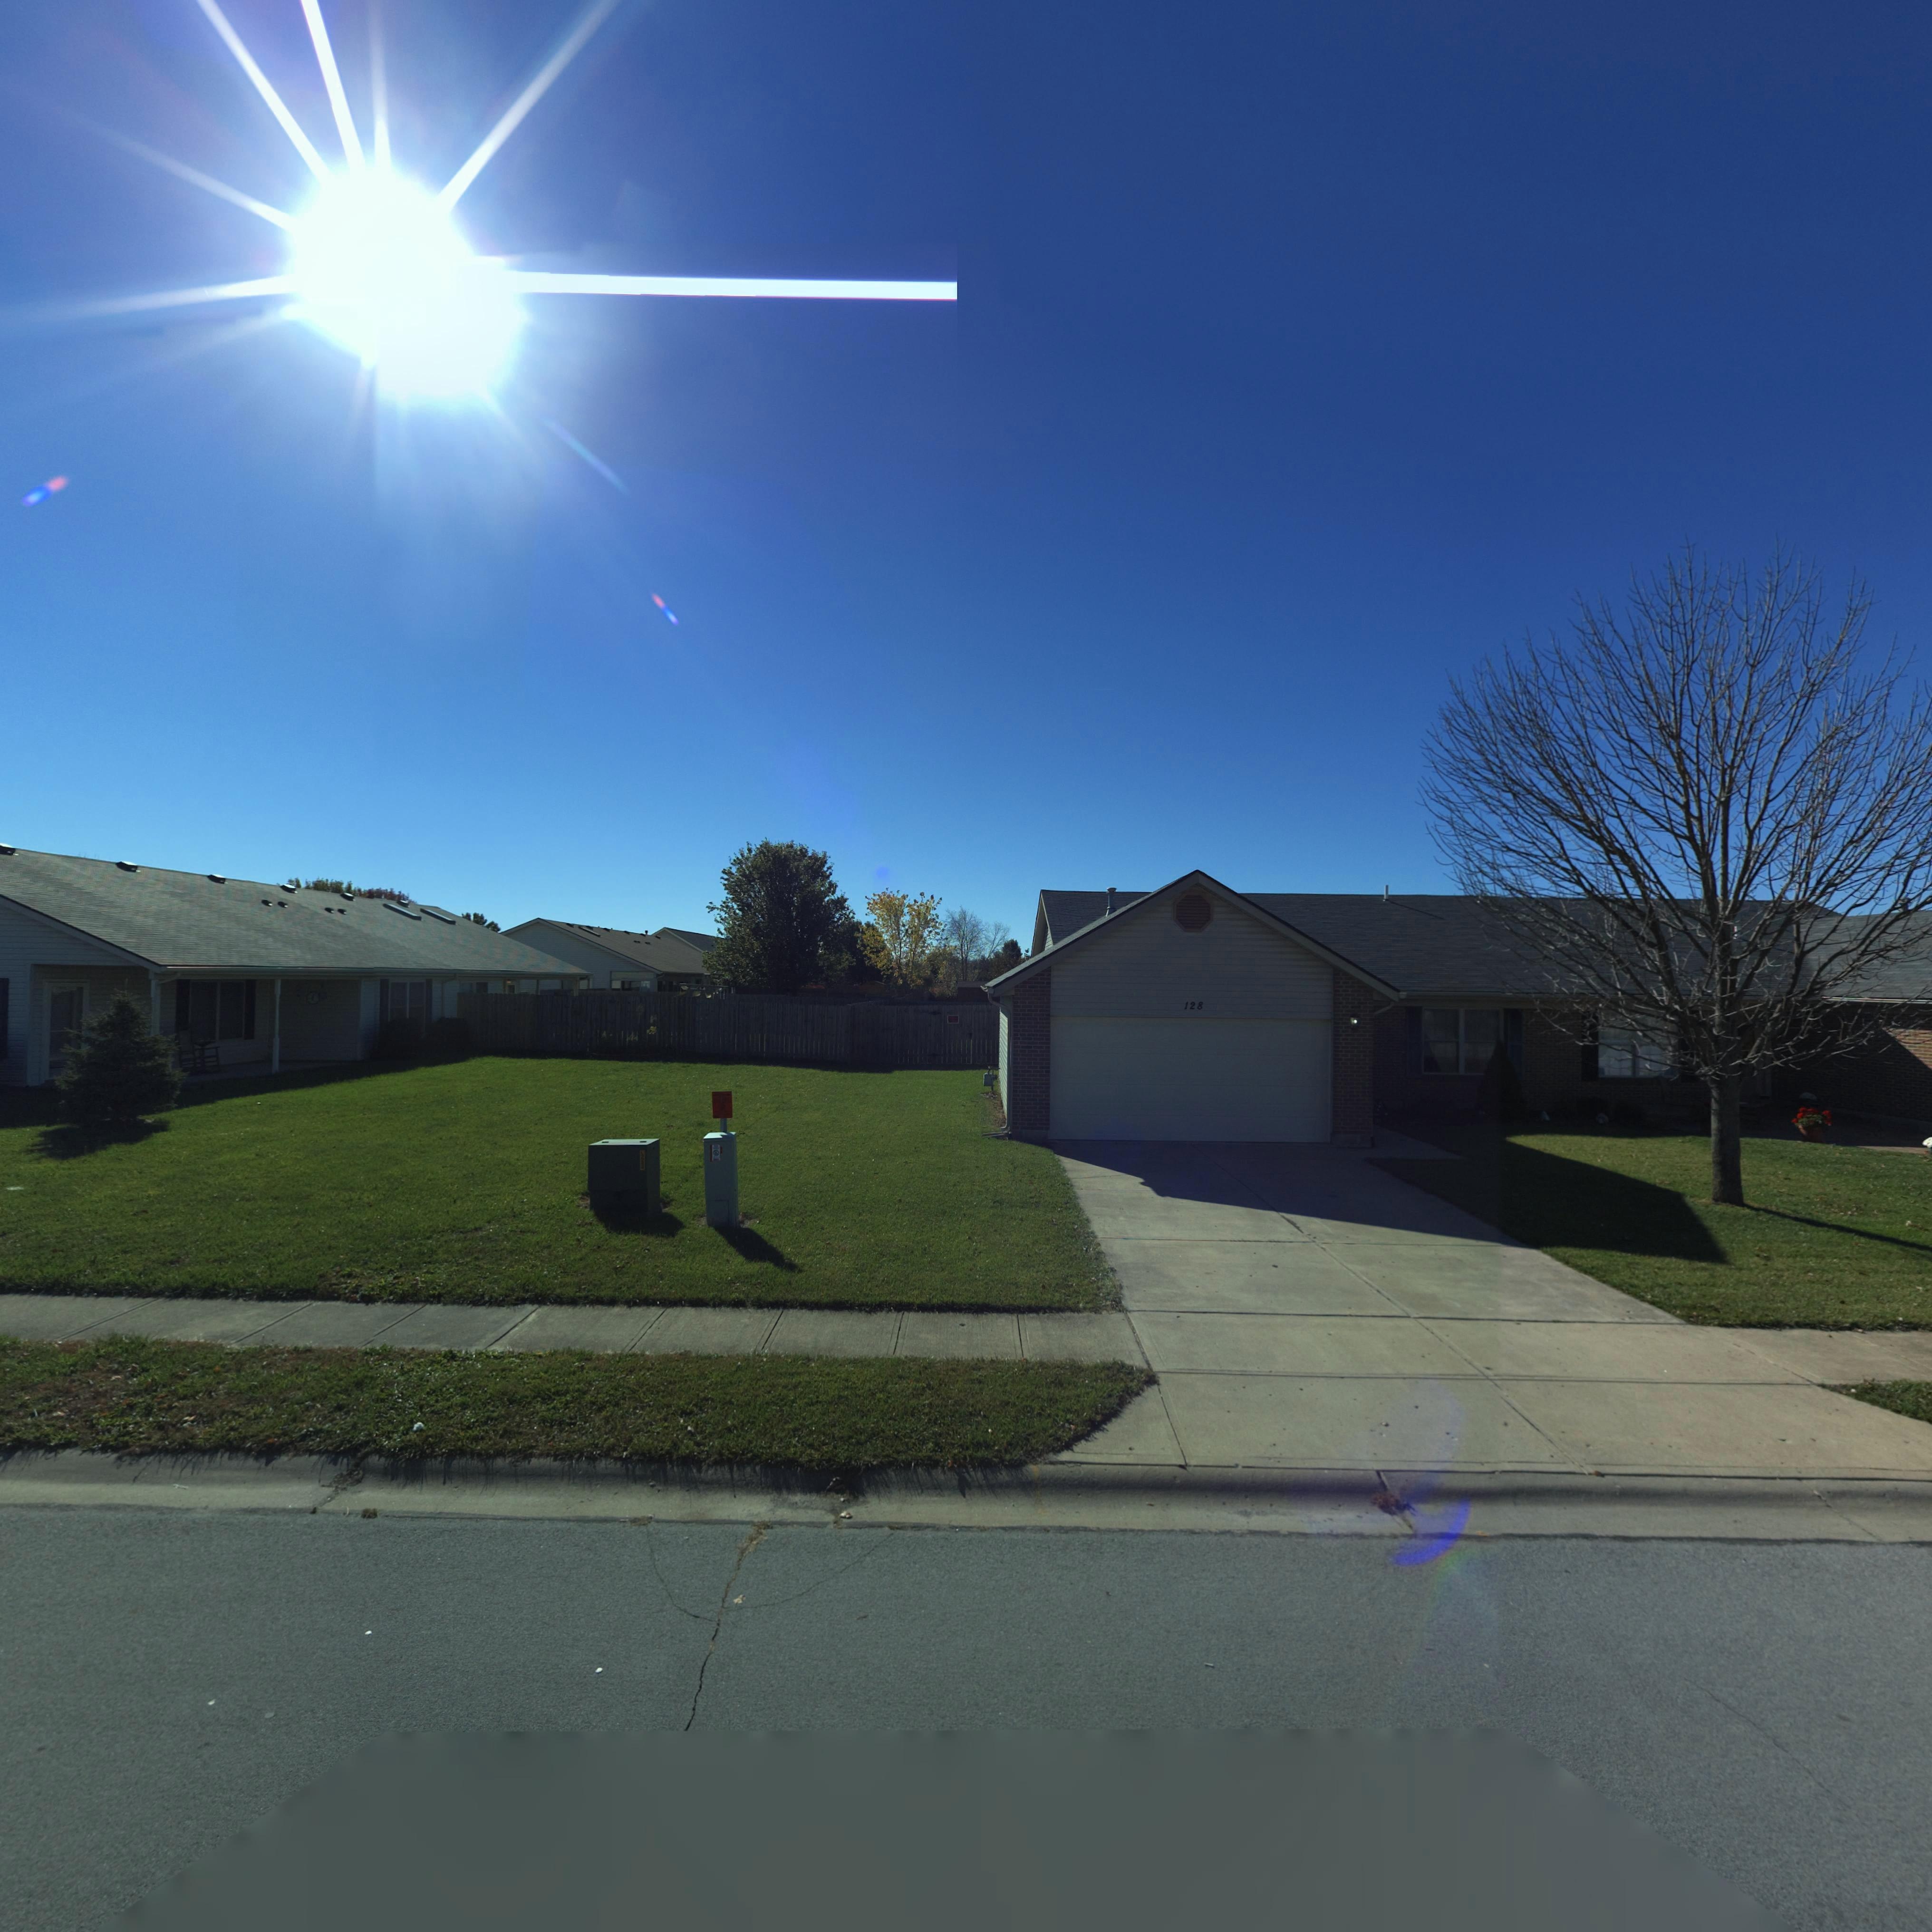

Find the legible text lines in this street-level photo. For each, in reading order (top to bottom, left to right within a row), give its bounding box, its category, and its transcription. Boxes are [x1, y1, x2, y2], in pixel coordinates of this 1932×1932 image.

[1183, 1001, 1204, 1010] StreetNumber: 128